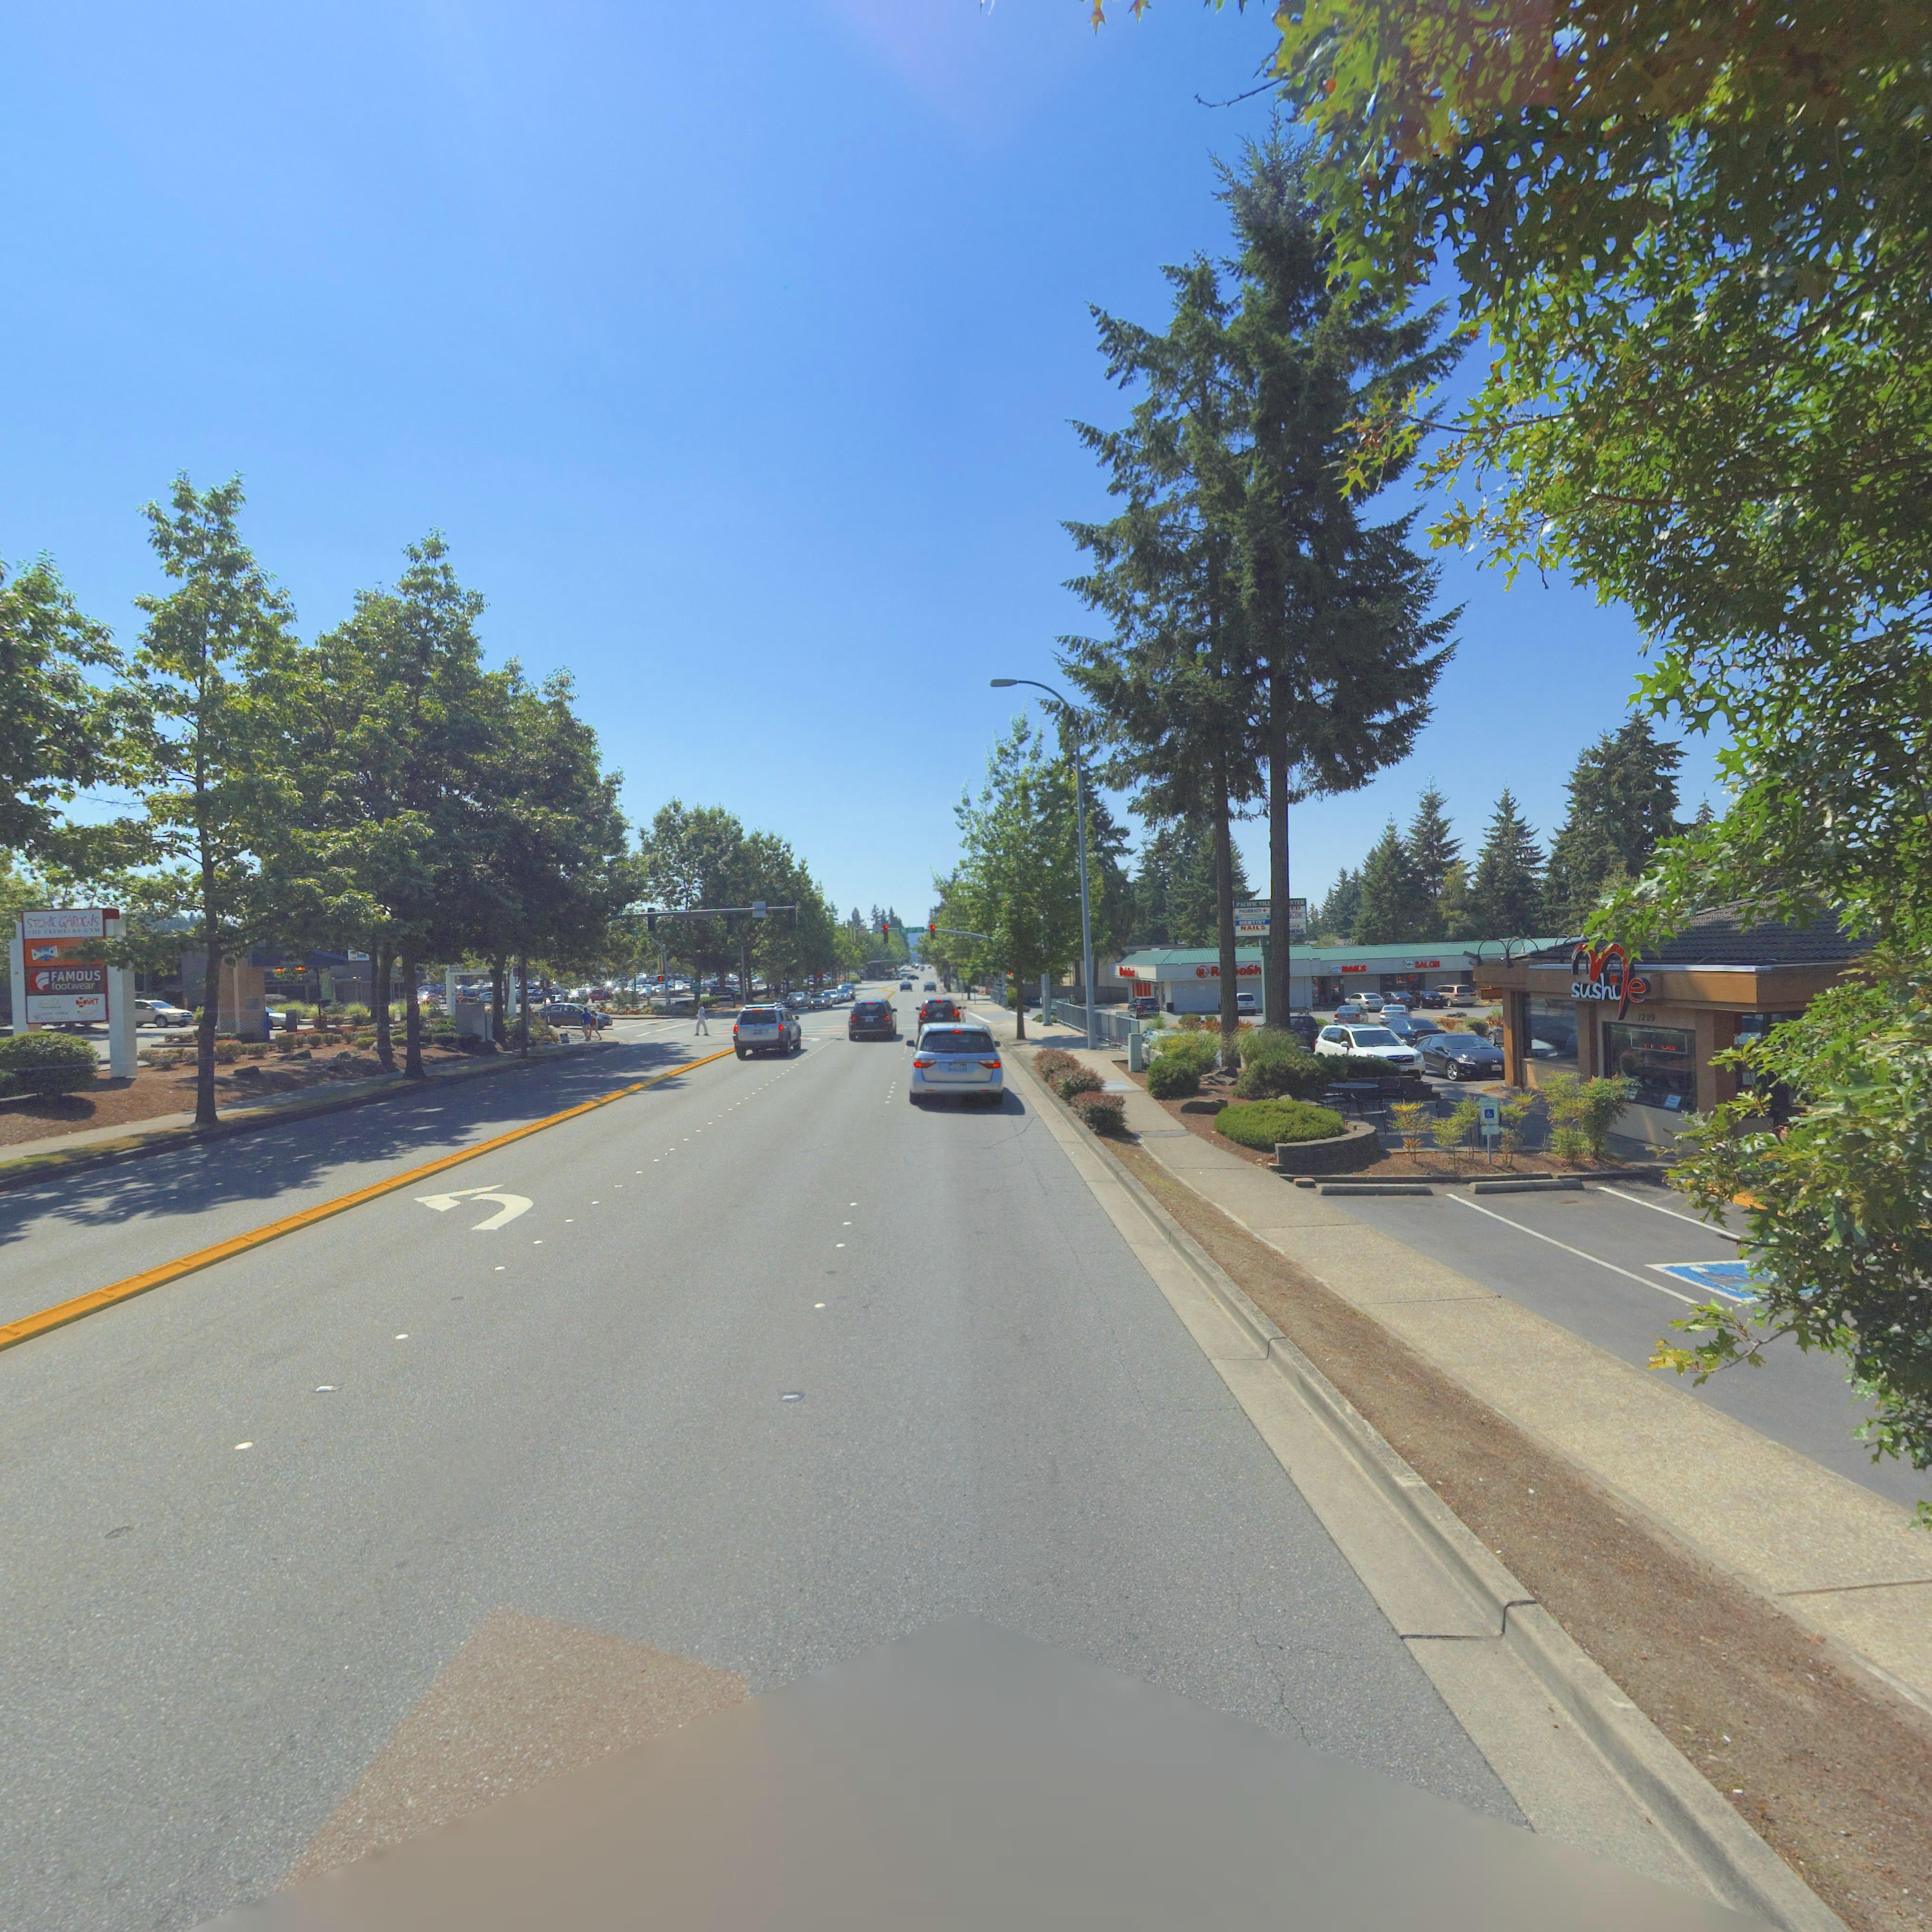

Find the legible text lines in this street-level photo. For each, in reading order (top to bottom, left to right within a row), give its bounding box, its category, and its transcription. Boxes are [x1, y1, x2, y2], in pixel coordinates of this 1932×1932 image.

[1239, 919, 1266, 925] BusinessName: DENTIST
[1241, 925, 1266, 930] BusinessName: NAILS
[1415, 960, 1440, 968] BusinessName: SALON
[1211, 965, 1261, 976] BusinessName: R***oSh
[49, 969, 100, 982] BusinessName: FAMOUS
[50, 981, 95, 990] BusinessName: FOOTWEAR
[1571, 978, 1647, 1004] BusinessName: sushi*e
[1638, 1013, 1655, 1021] StreetNumber: 1299